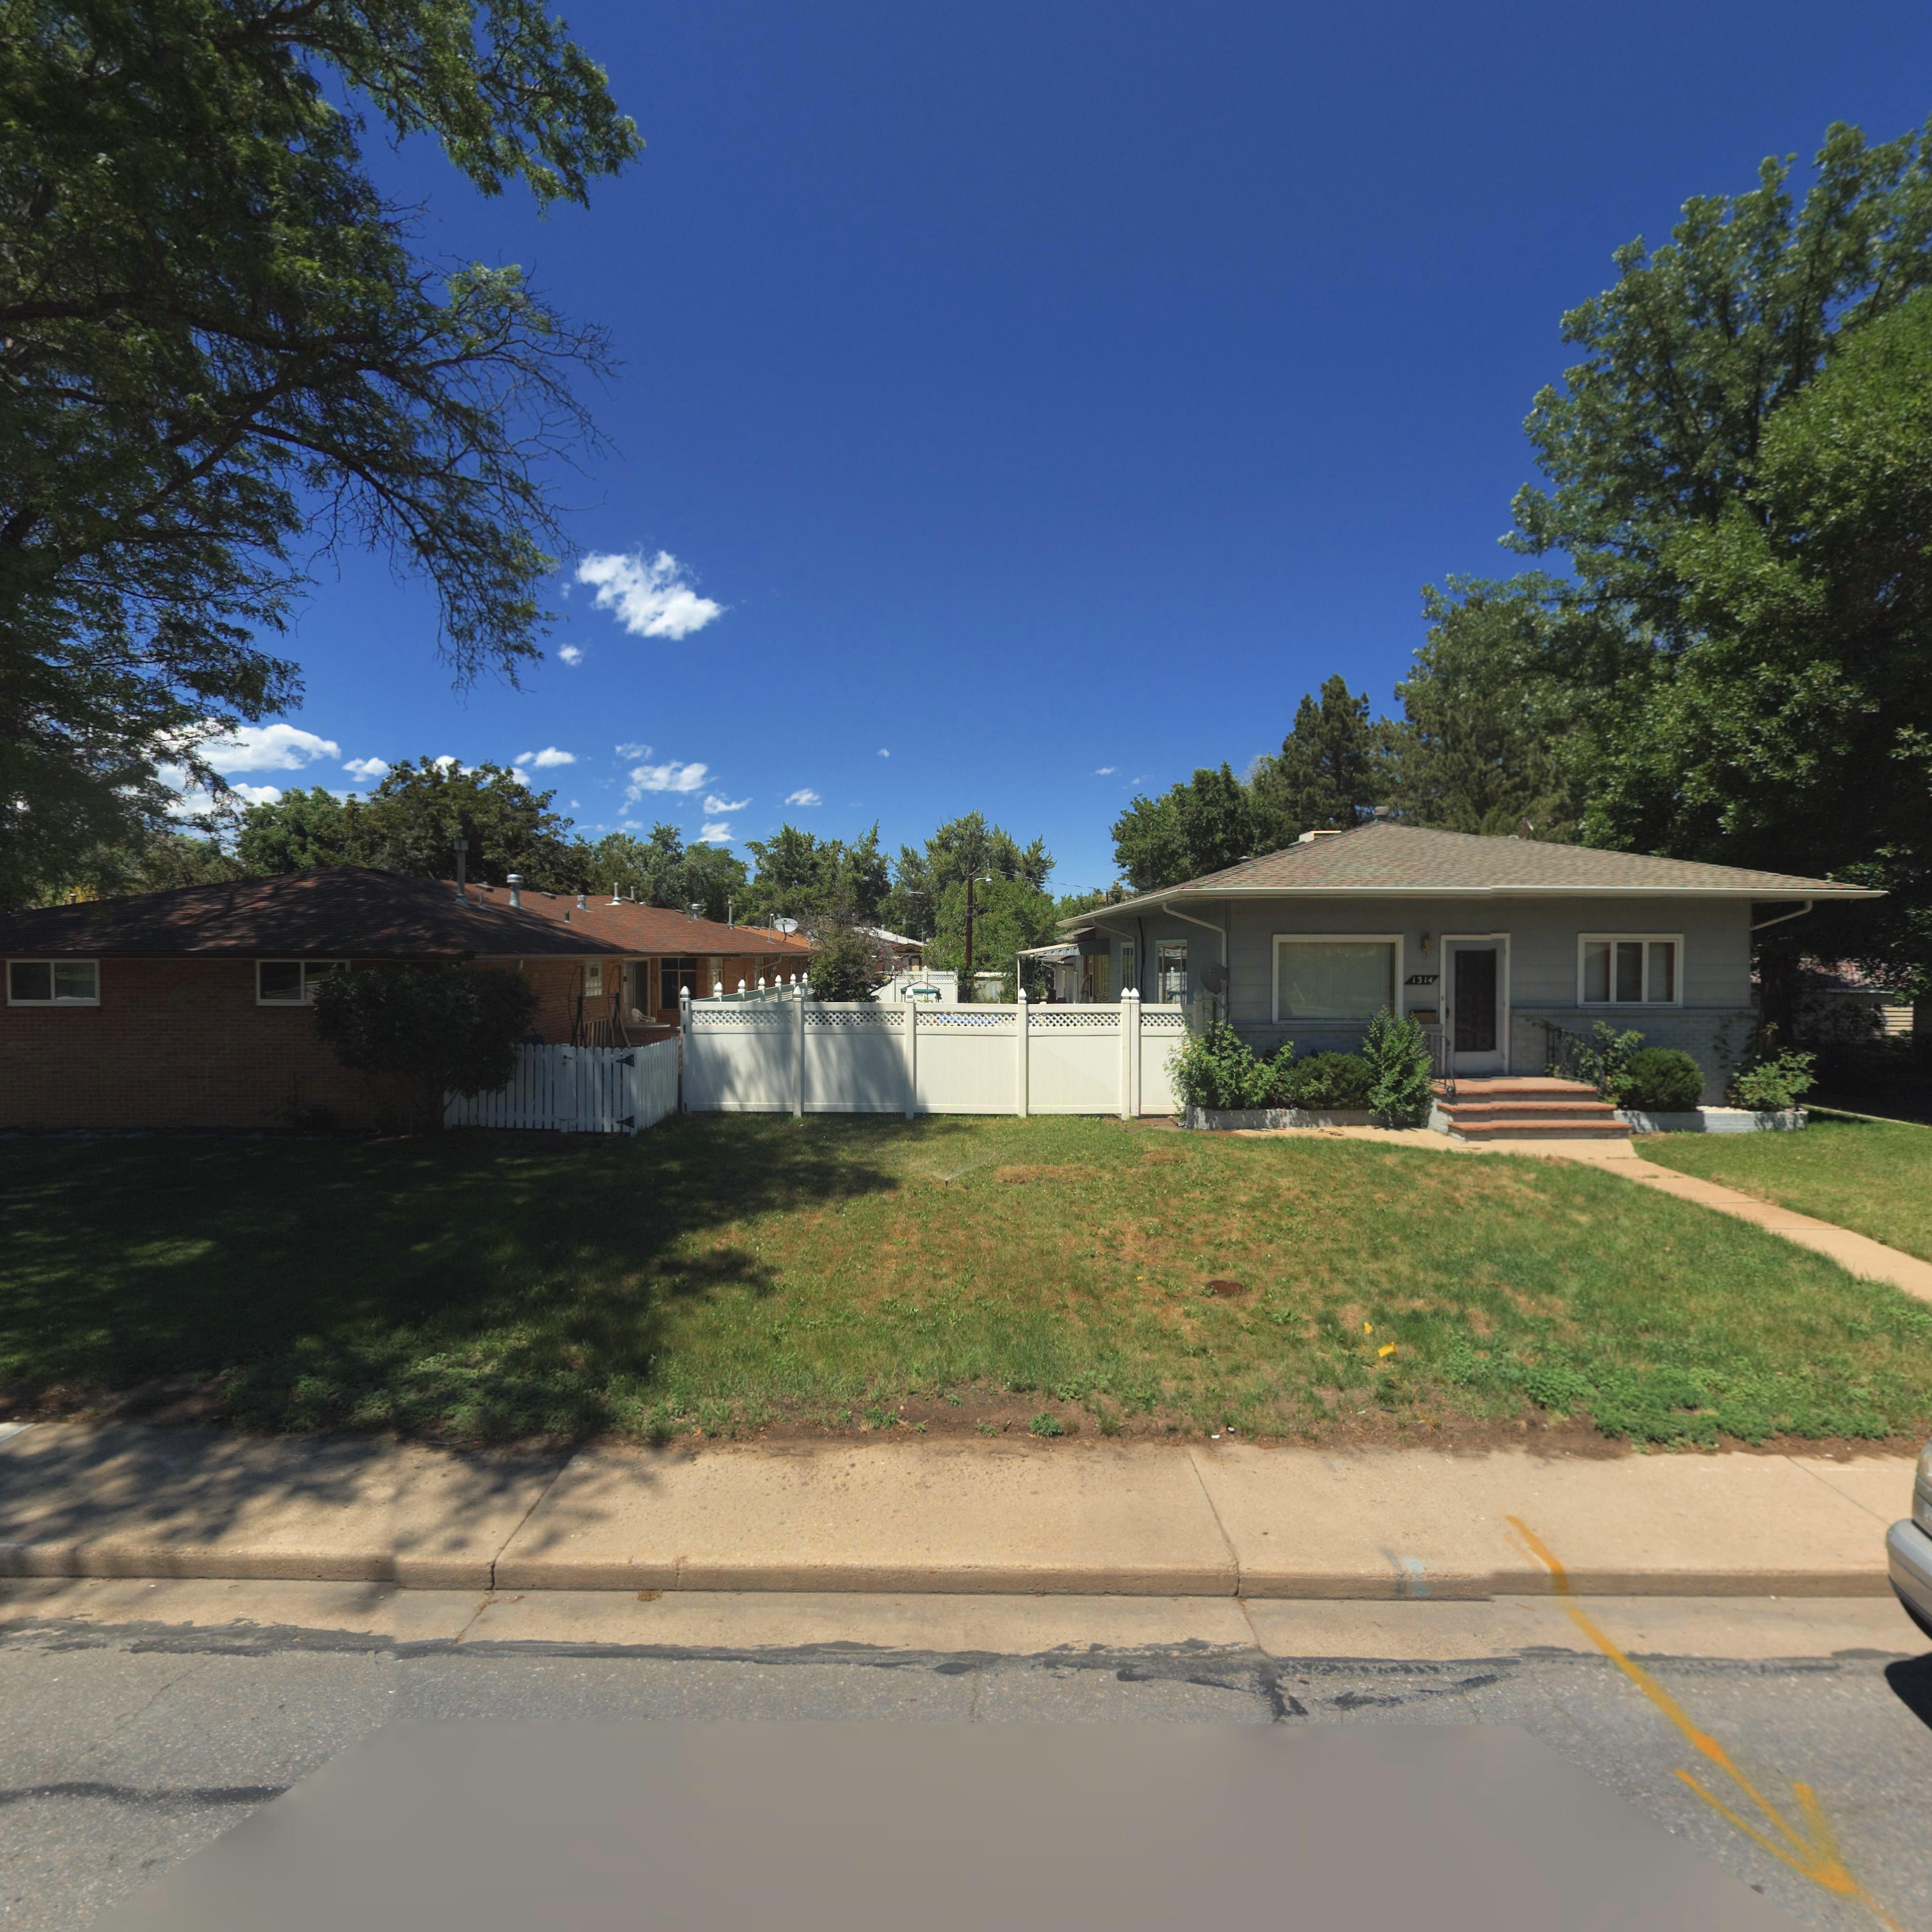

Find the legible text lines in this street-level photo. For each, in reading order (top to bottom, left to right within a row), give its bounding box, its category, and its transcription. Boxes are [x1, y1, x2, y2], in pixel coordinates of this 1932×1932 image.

[1412, 976, 1433, 984] StreetNumber: 1314